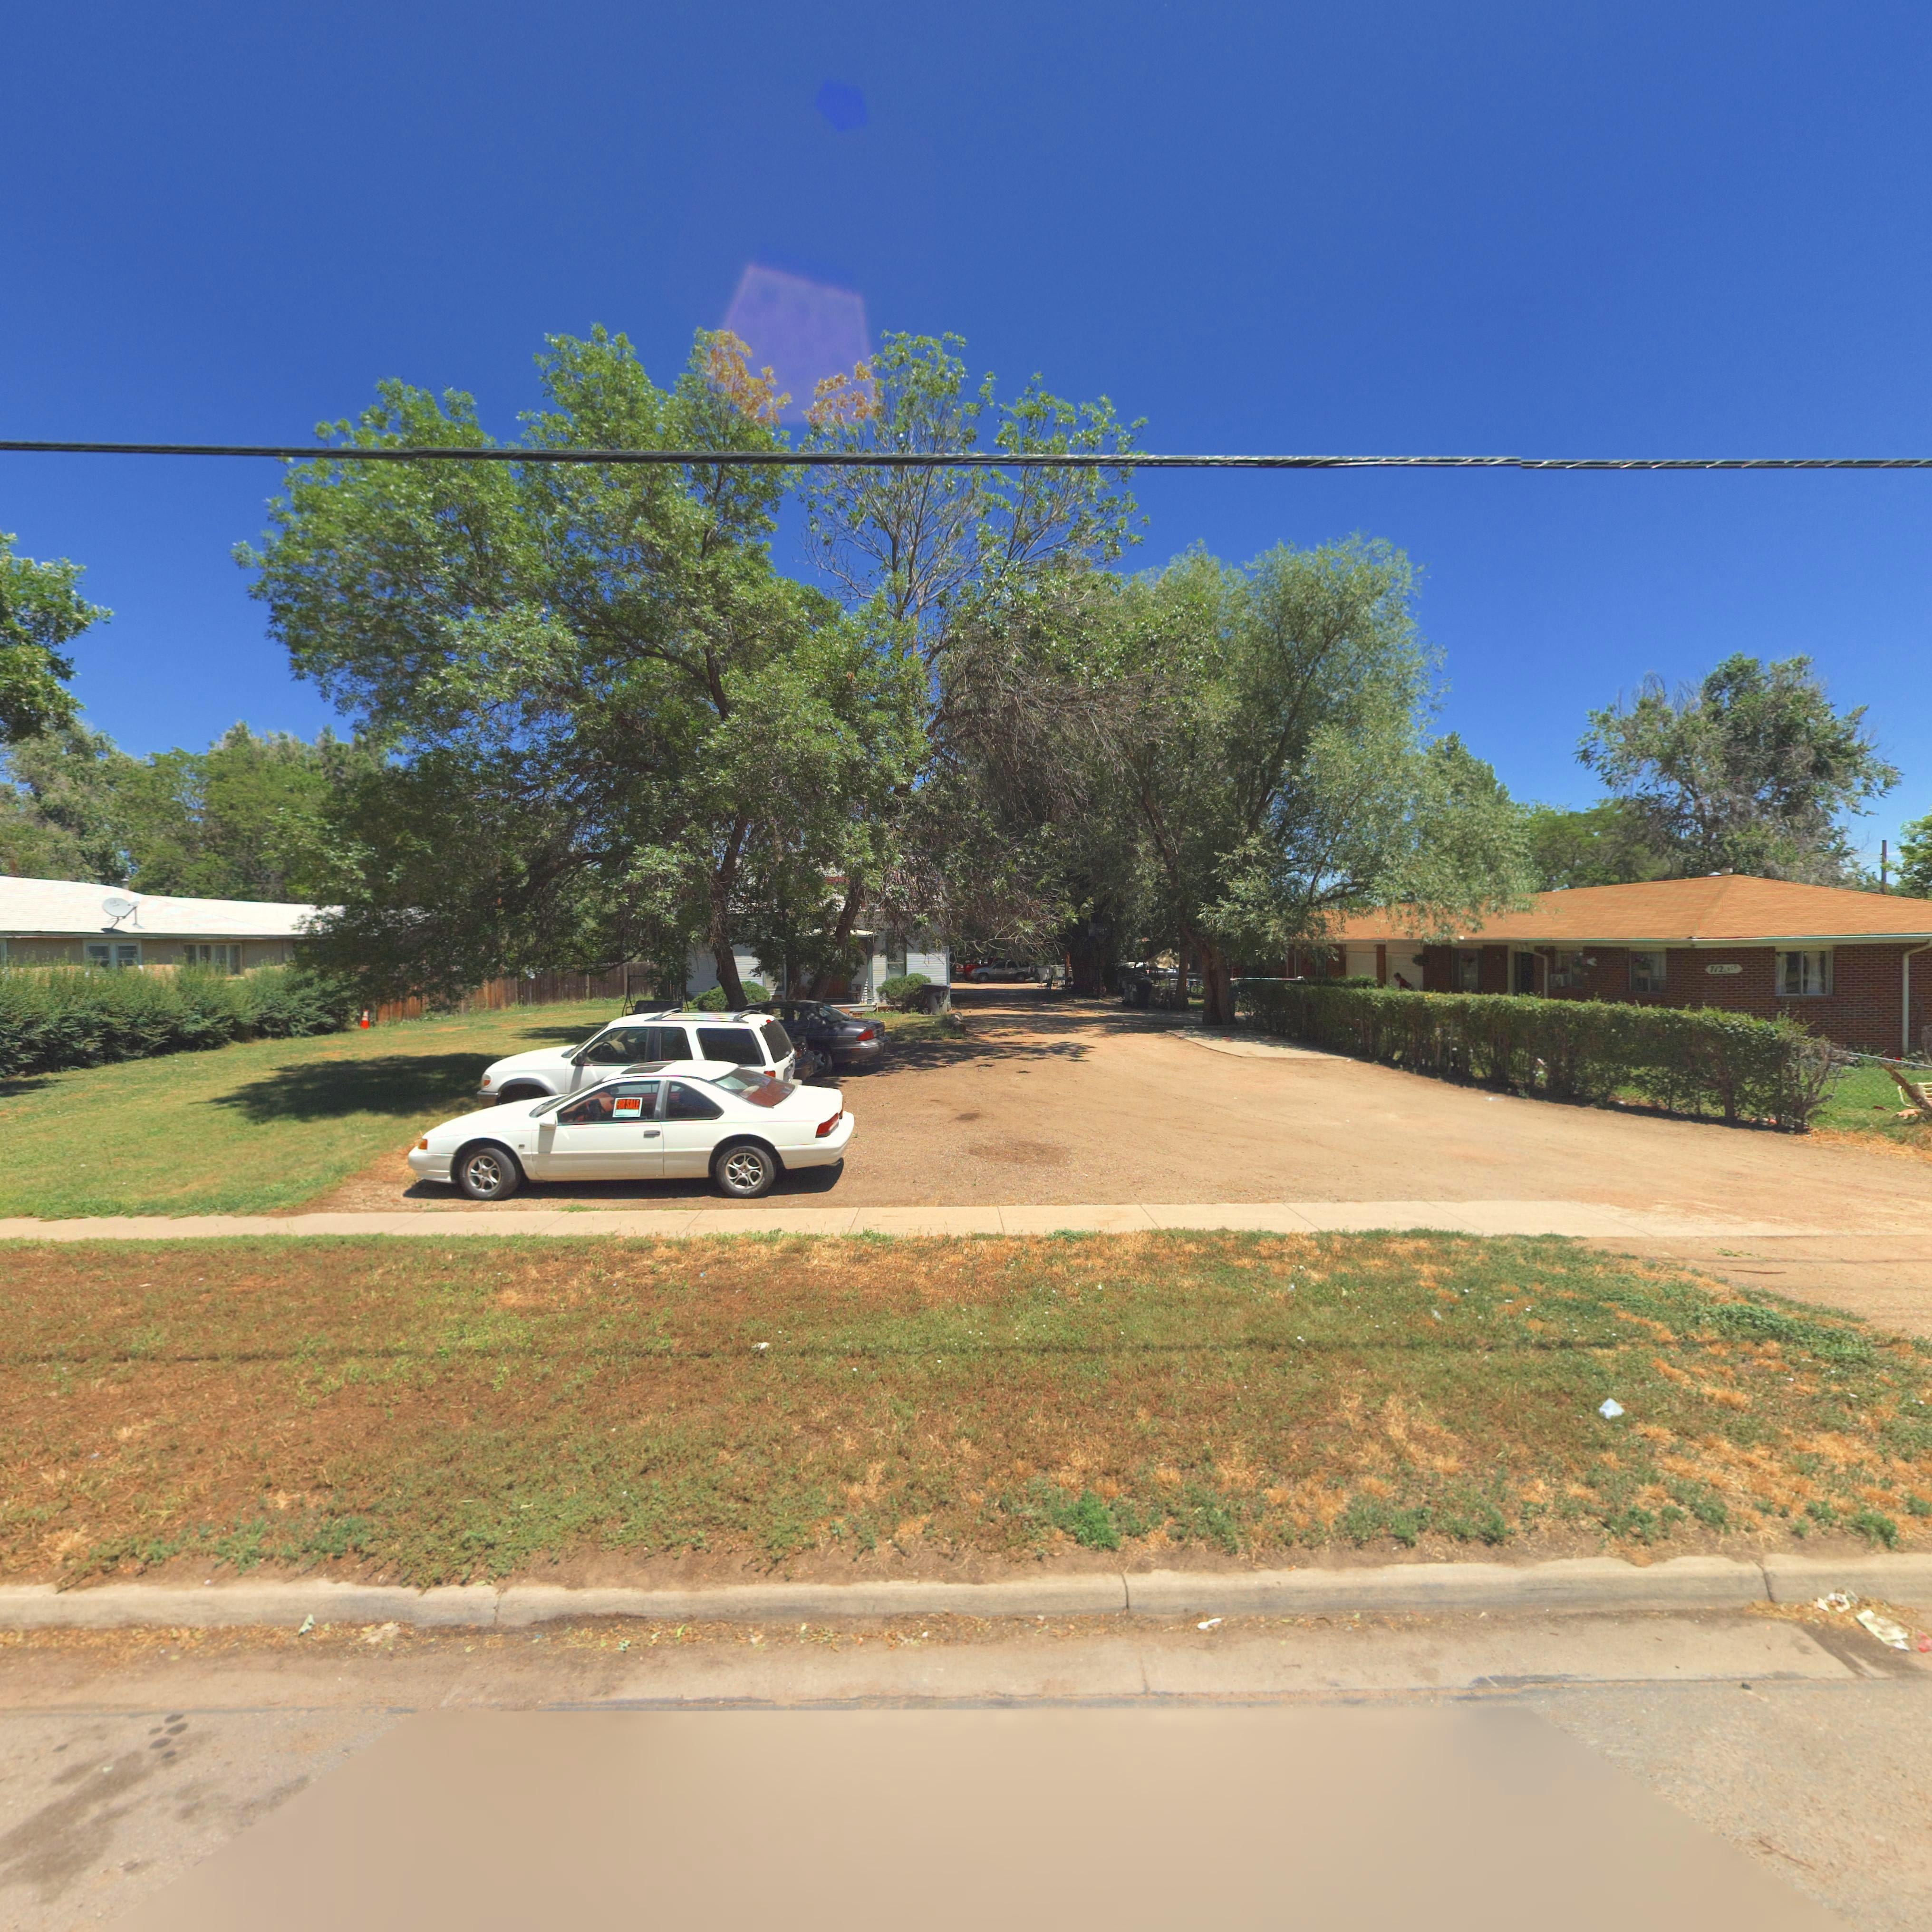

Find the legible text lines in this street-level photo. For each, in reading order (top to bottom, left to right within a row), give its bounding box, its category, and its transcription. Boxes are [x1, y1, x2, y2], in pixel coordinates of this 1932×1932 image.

[1710, 966, 1723, 972] StreetNumber: 712